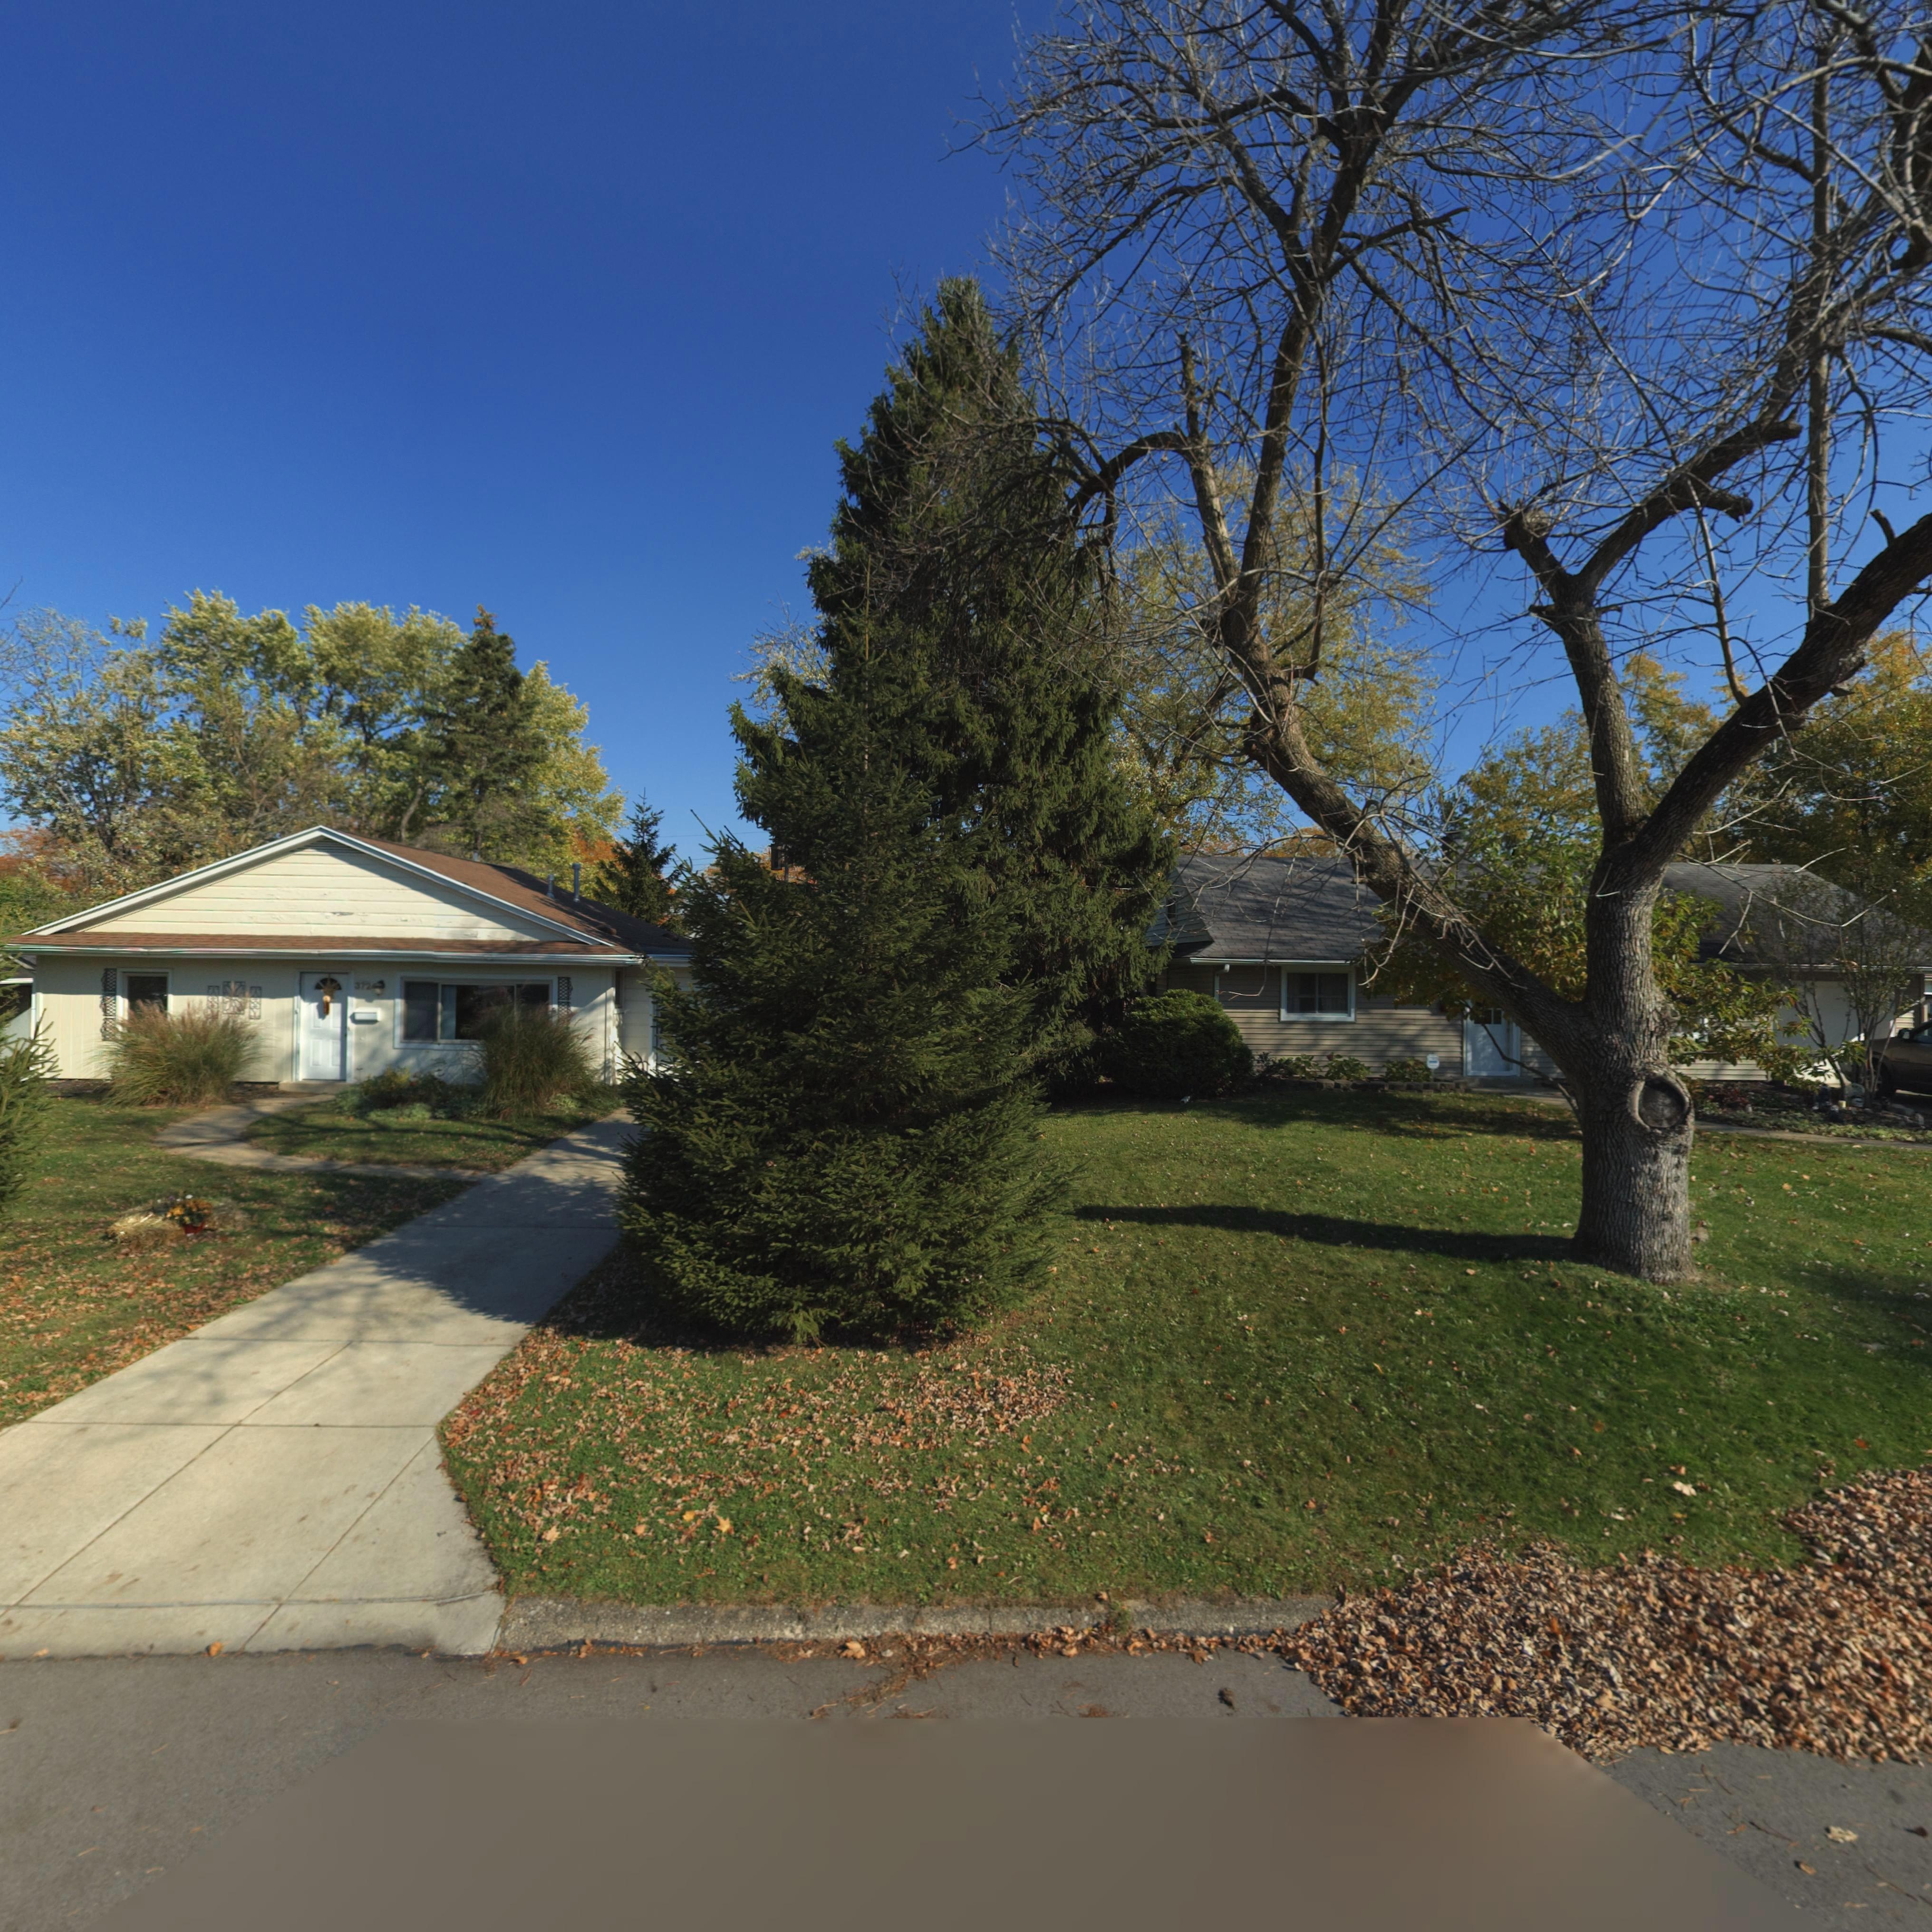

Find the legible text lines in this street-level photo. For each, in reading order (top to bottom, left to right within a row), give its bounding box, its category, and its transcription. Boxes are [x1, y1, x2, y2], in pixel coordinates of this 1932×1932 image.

[354, 981, 371, 990] StreetNumber: 372